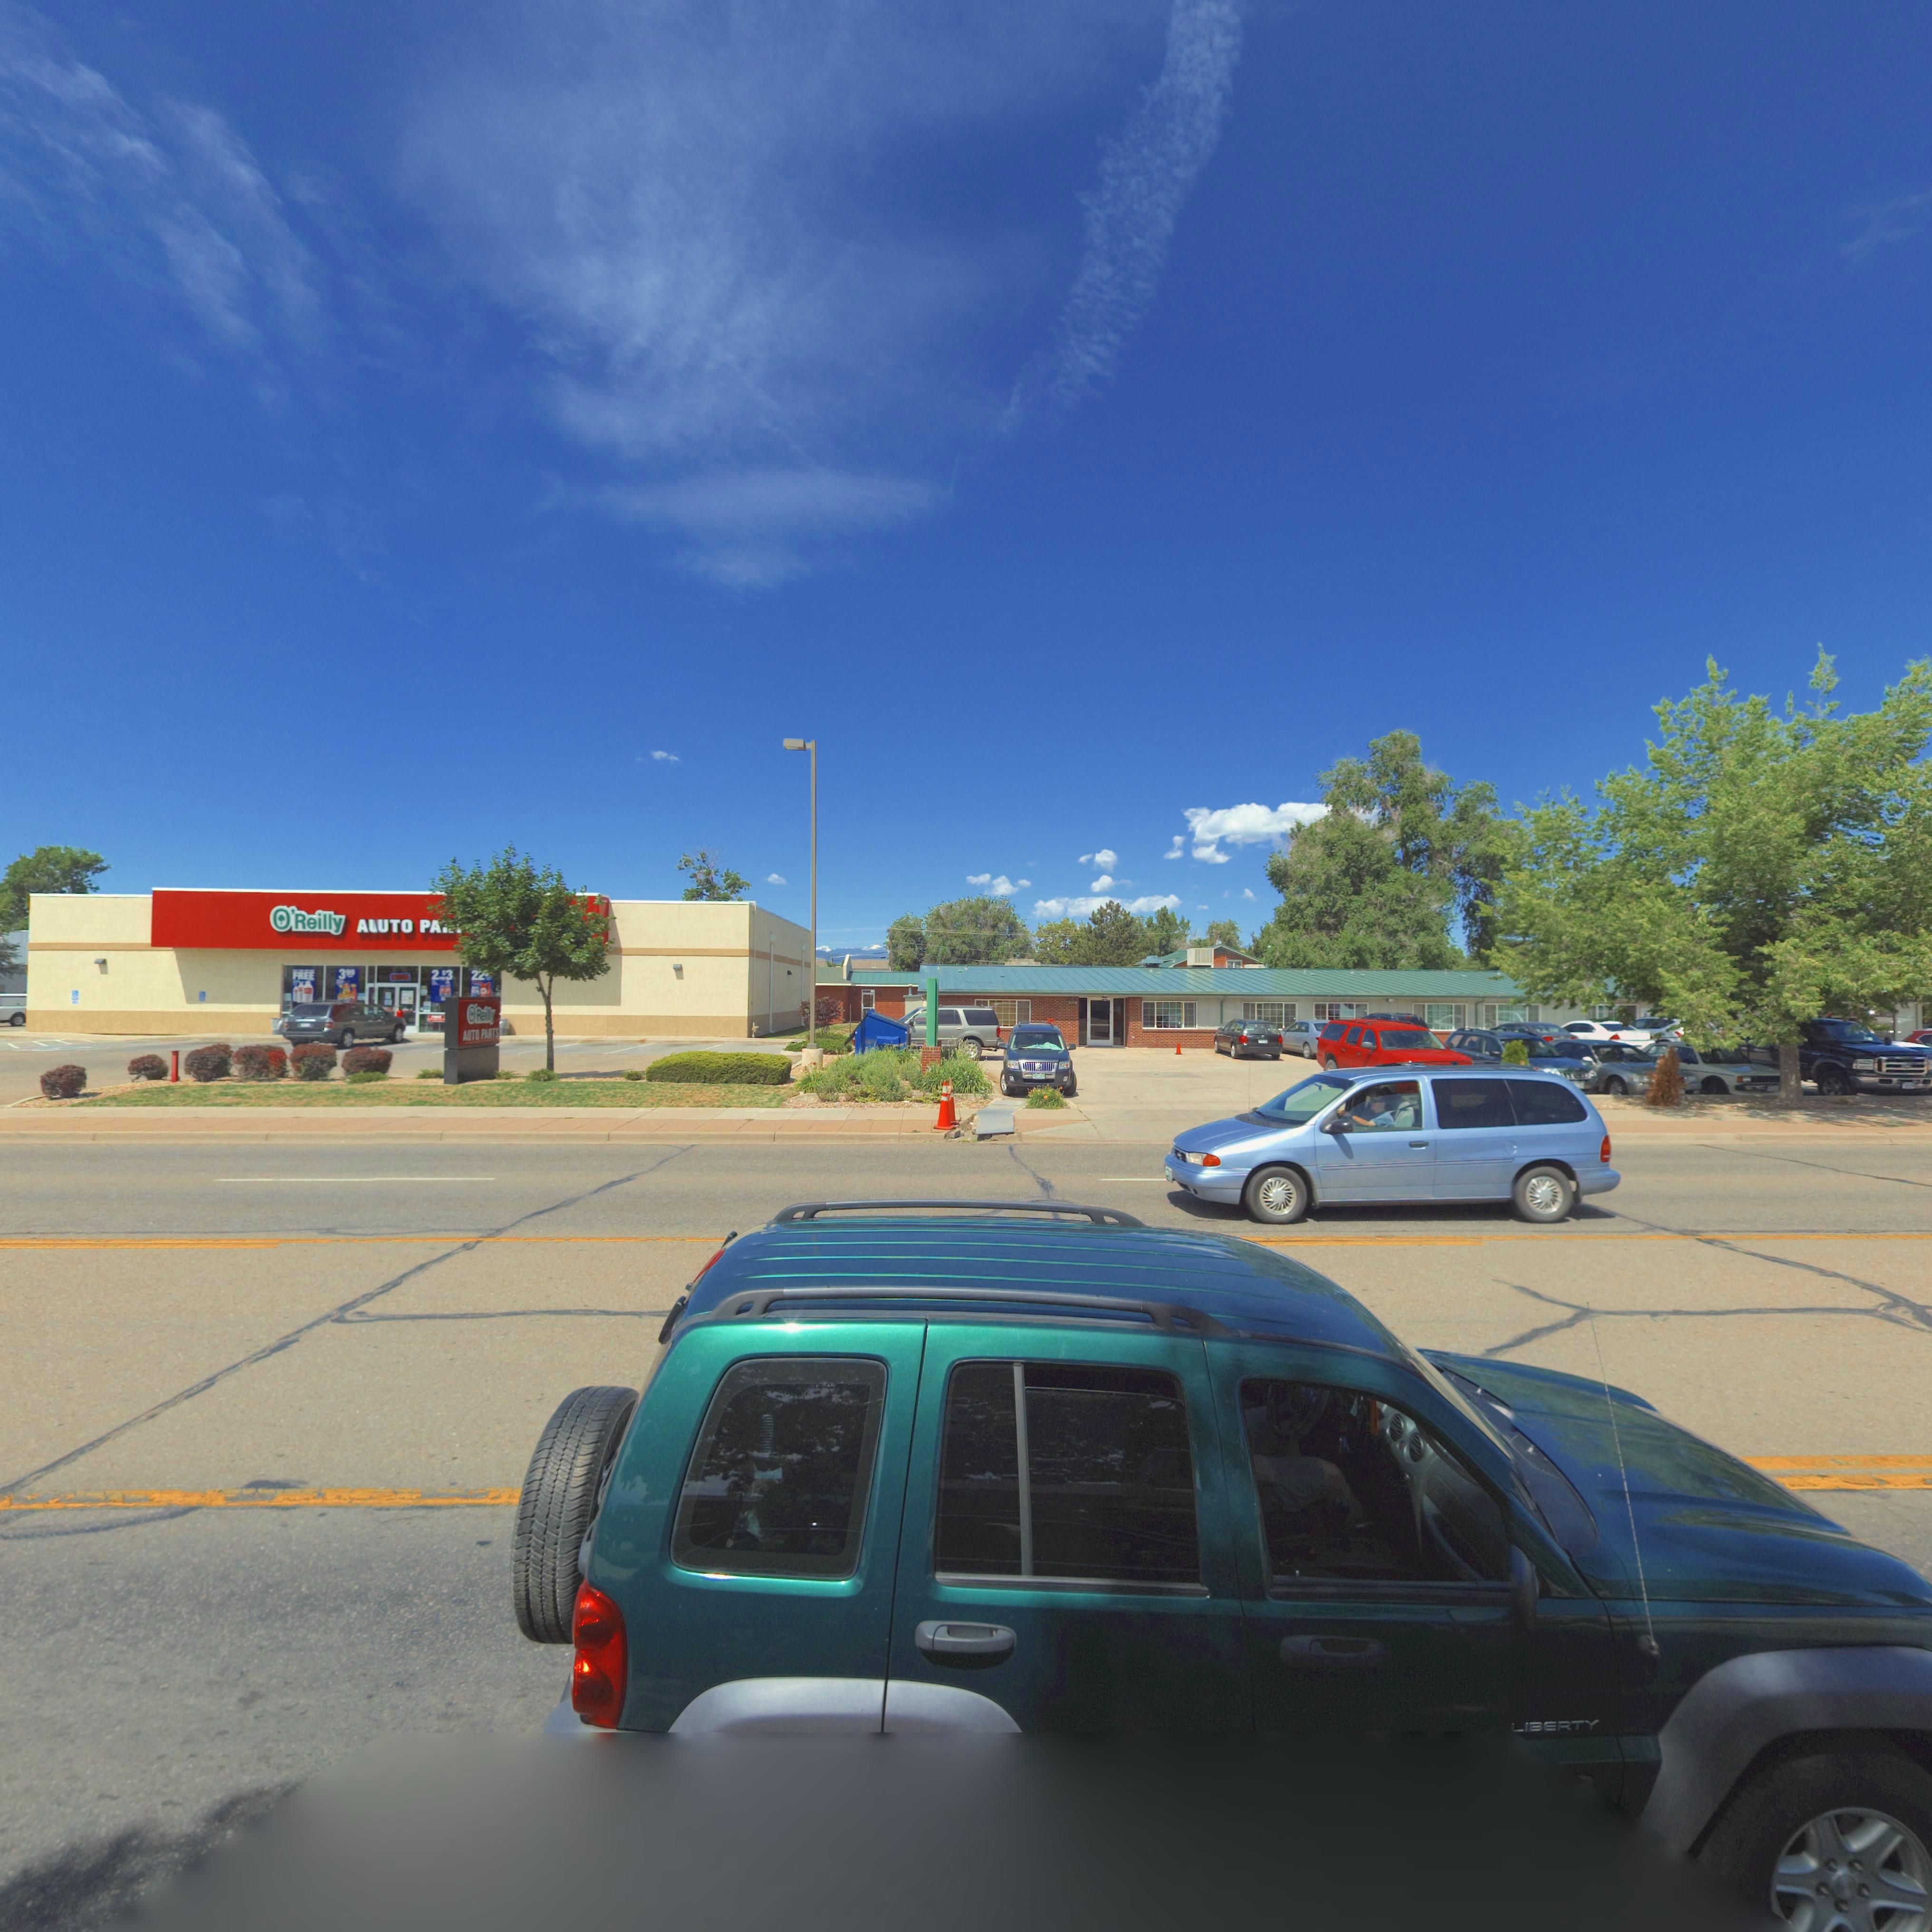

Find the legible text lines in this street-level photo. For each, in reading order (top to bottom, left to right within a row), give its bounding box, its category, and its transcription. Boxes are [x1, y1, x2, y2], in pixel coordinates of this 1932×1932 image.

[272, 908, 443, 933] BusinessName: *'Reilly AUTO PARTS
[468, 1004, 496, 1023] BusinessName: *'Reilly
[463, 1027, 499, 1042] BusinessName: AUTO PARTS